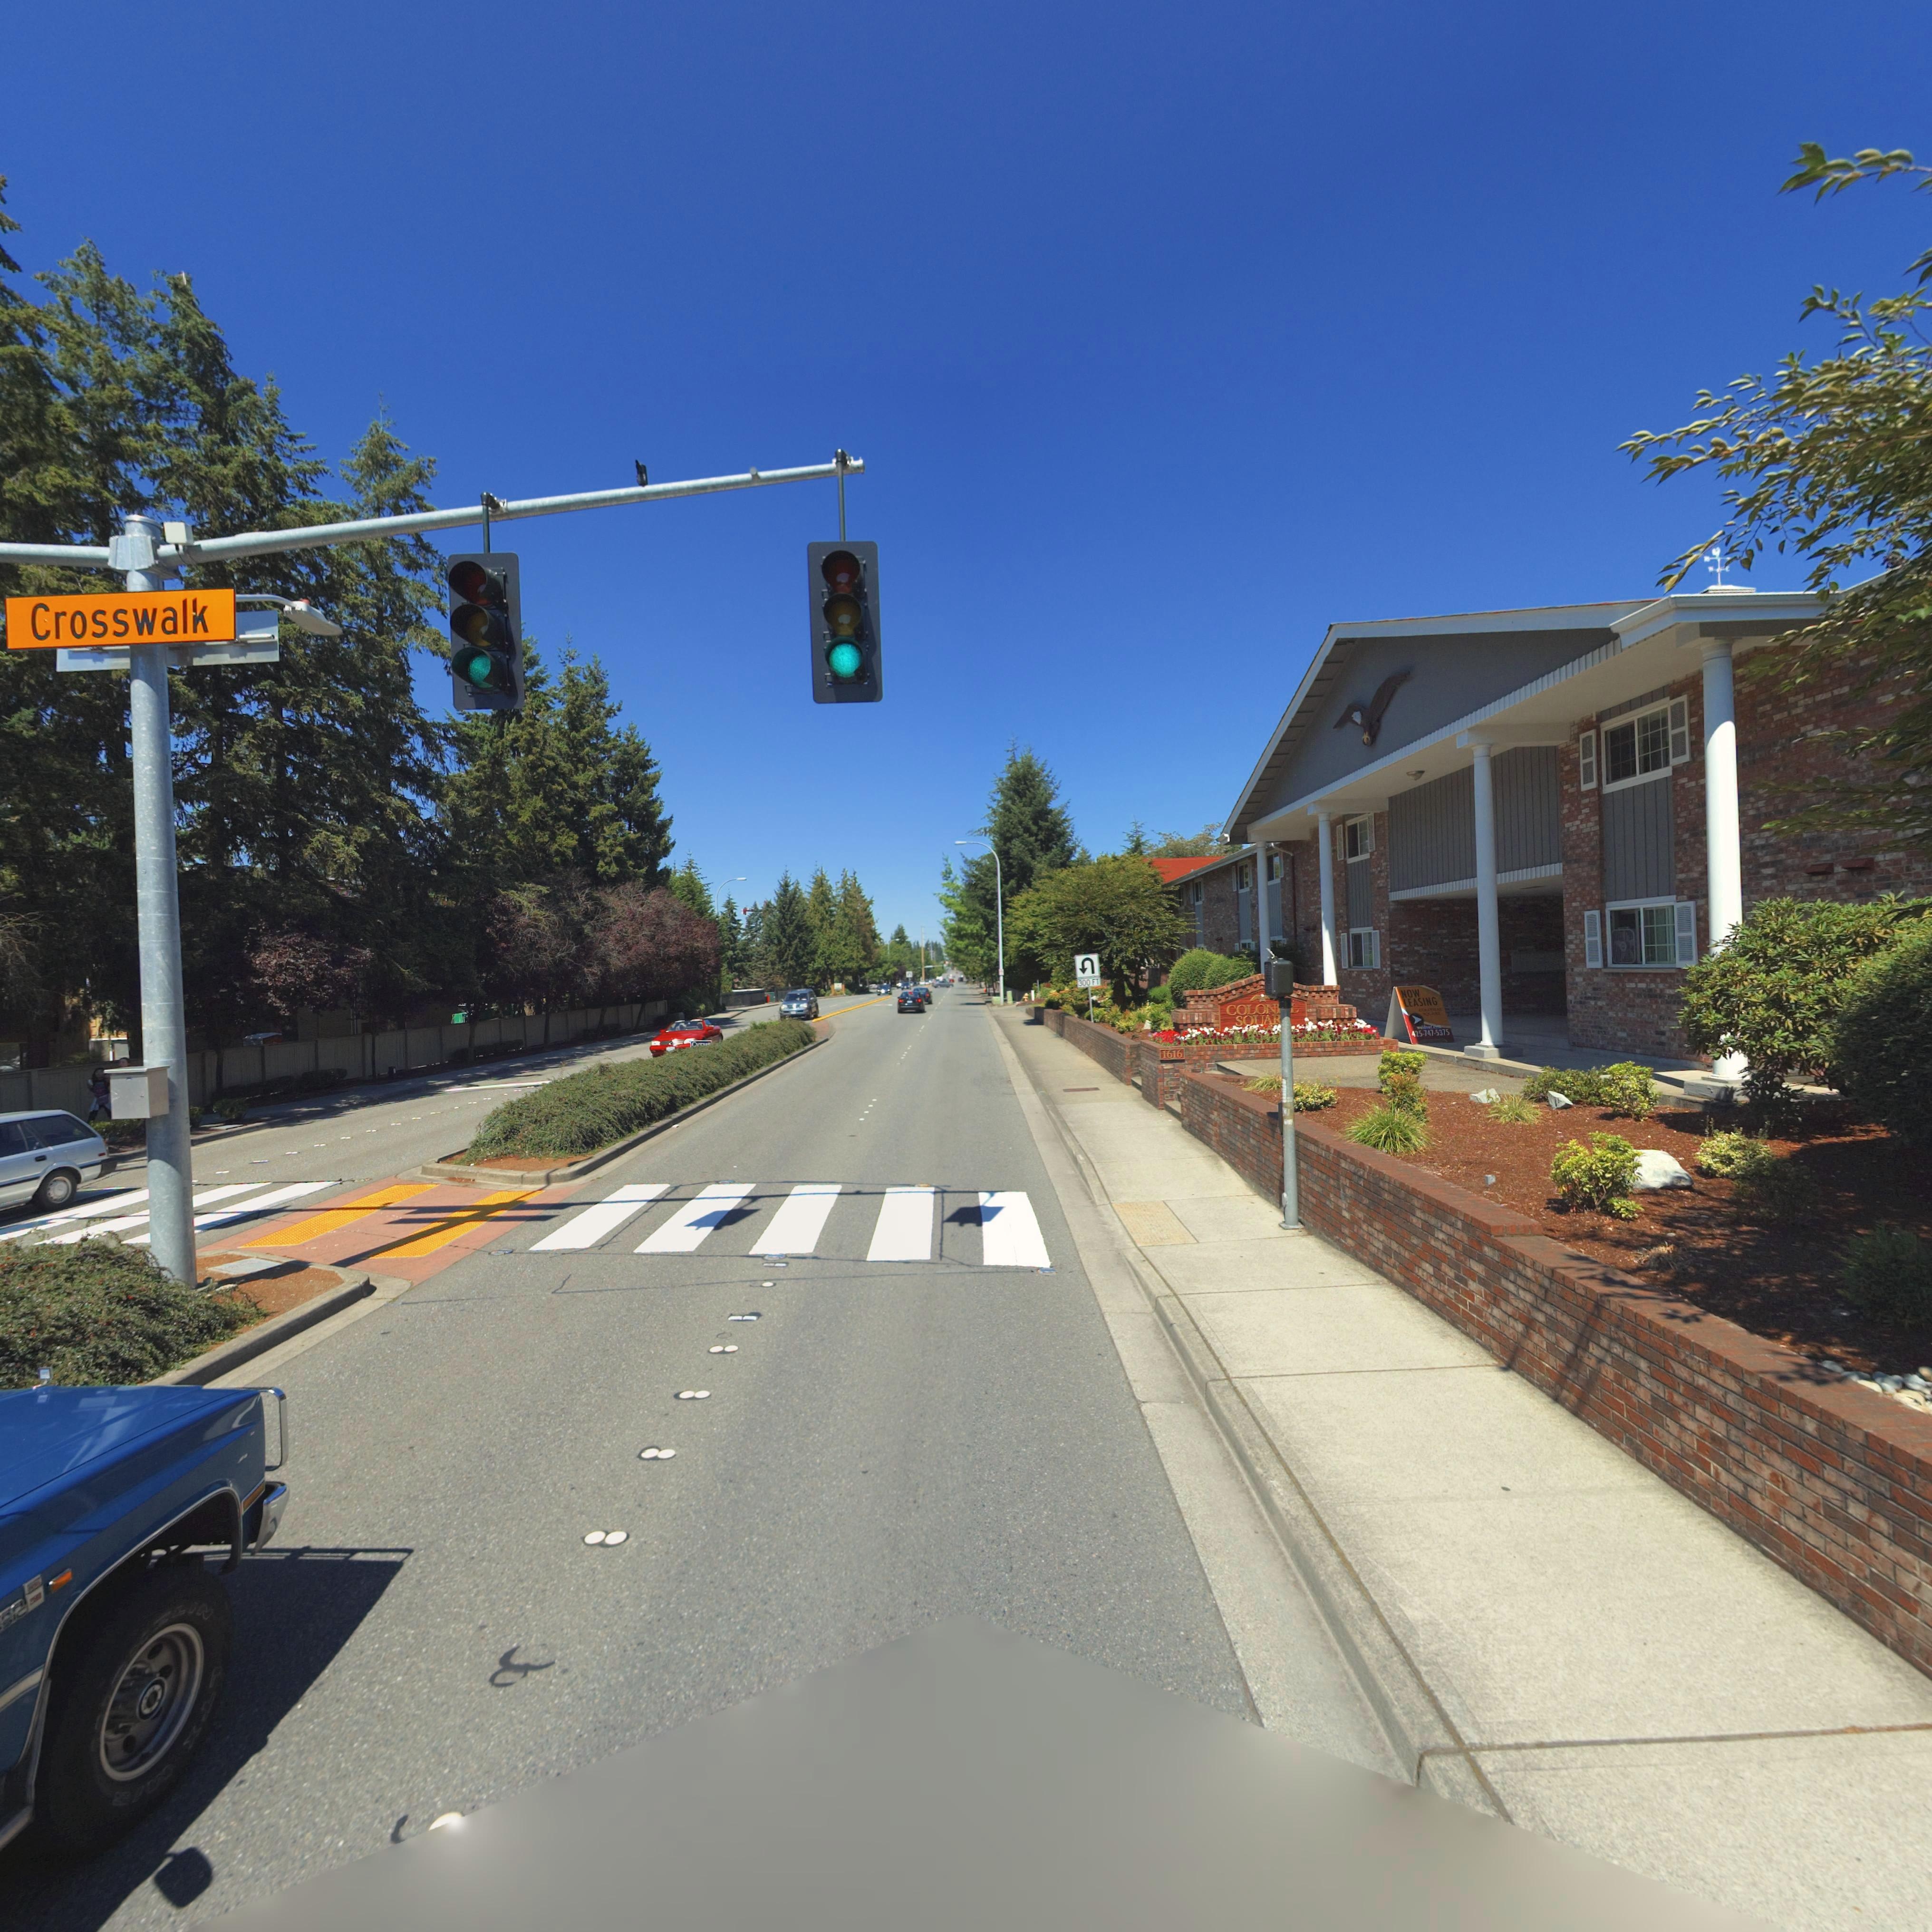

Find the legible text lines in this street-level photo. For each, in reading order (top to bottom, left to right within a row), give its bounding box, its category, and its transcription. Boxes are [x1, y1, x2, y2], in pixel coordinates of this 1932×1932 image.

[1225, 1002, 1301, 1017] BusinessName: COLON*L
[1234, 1013, 1283, 1028] BusinessName: SQUAR*
[1161, 1049, 1184, 1060] StreetNumber: 1616